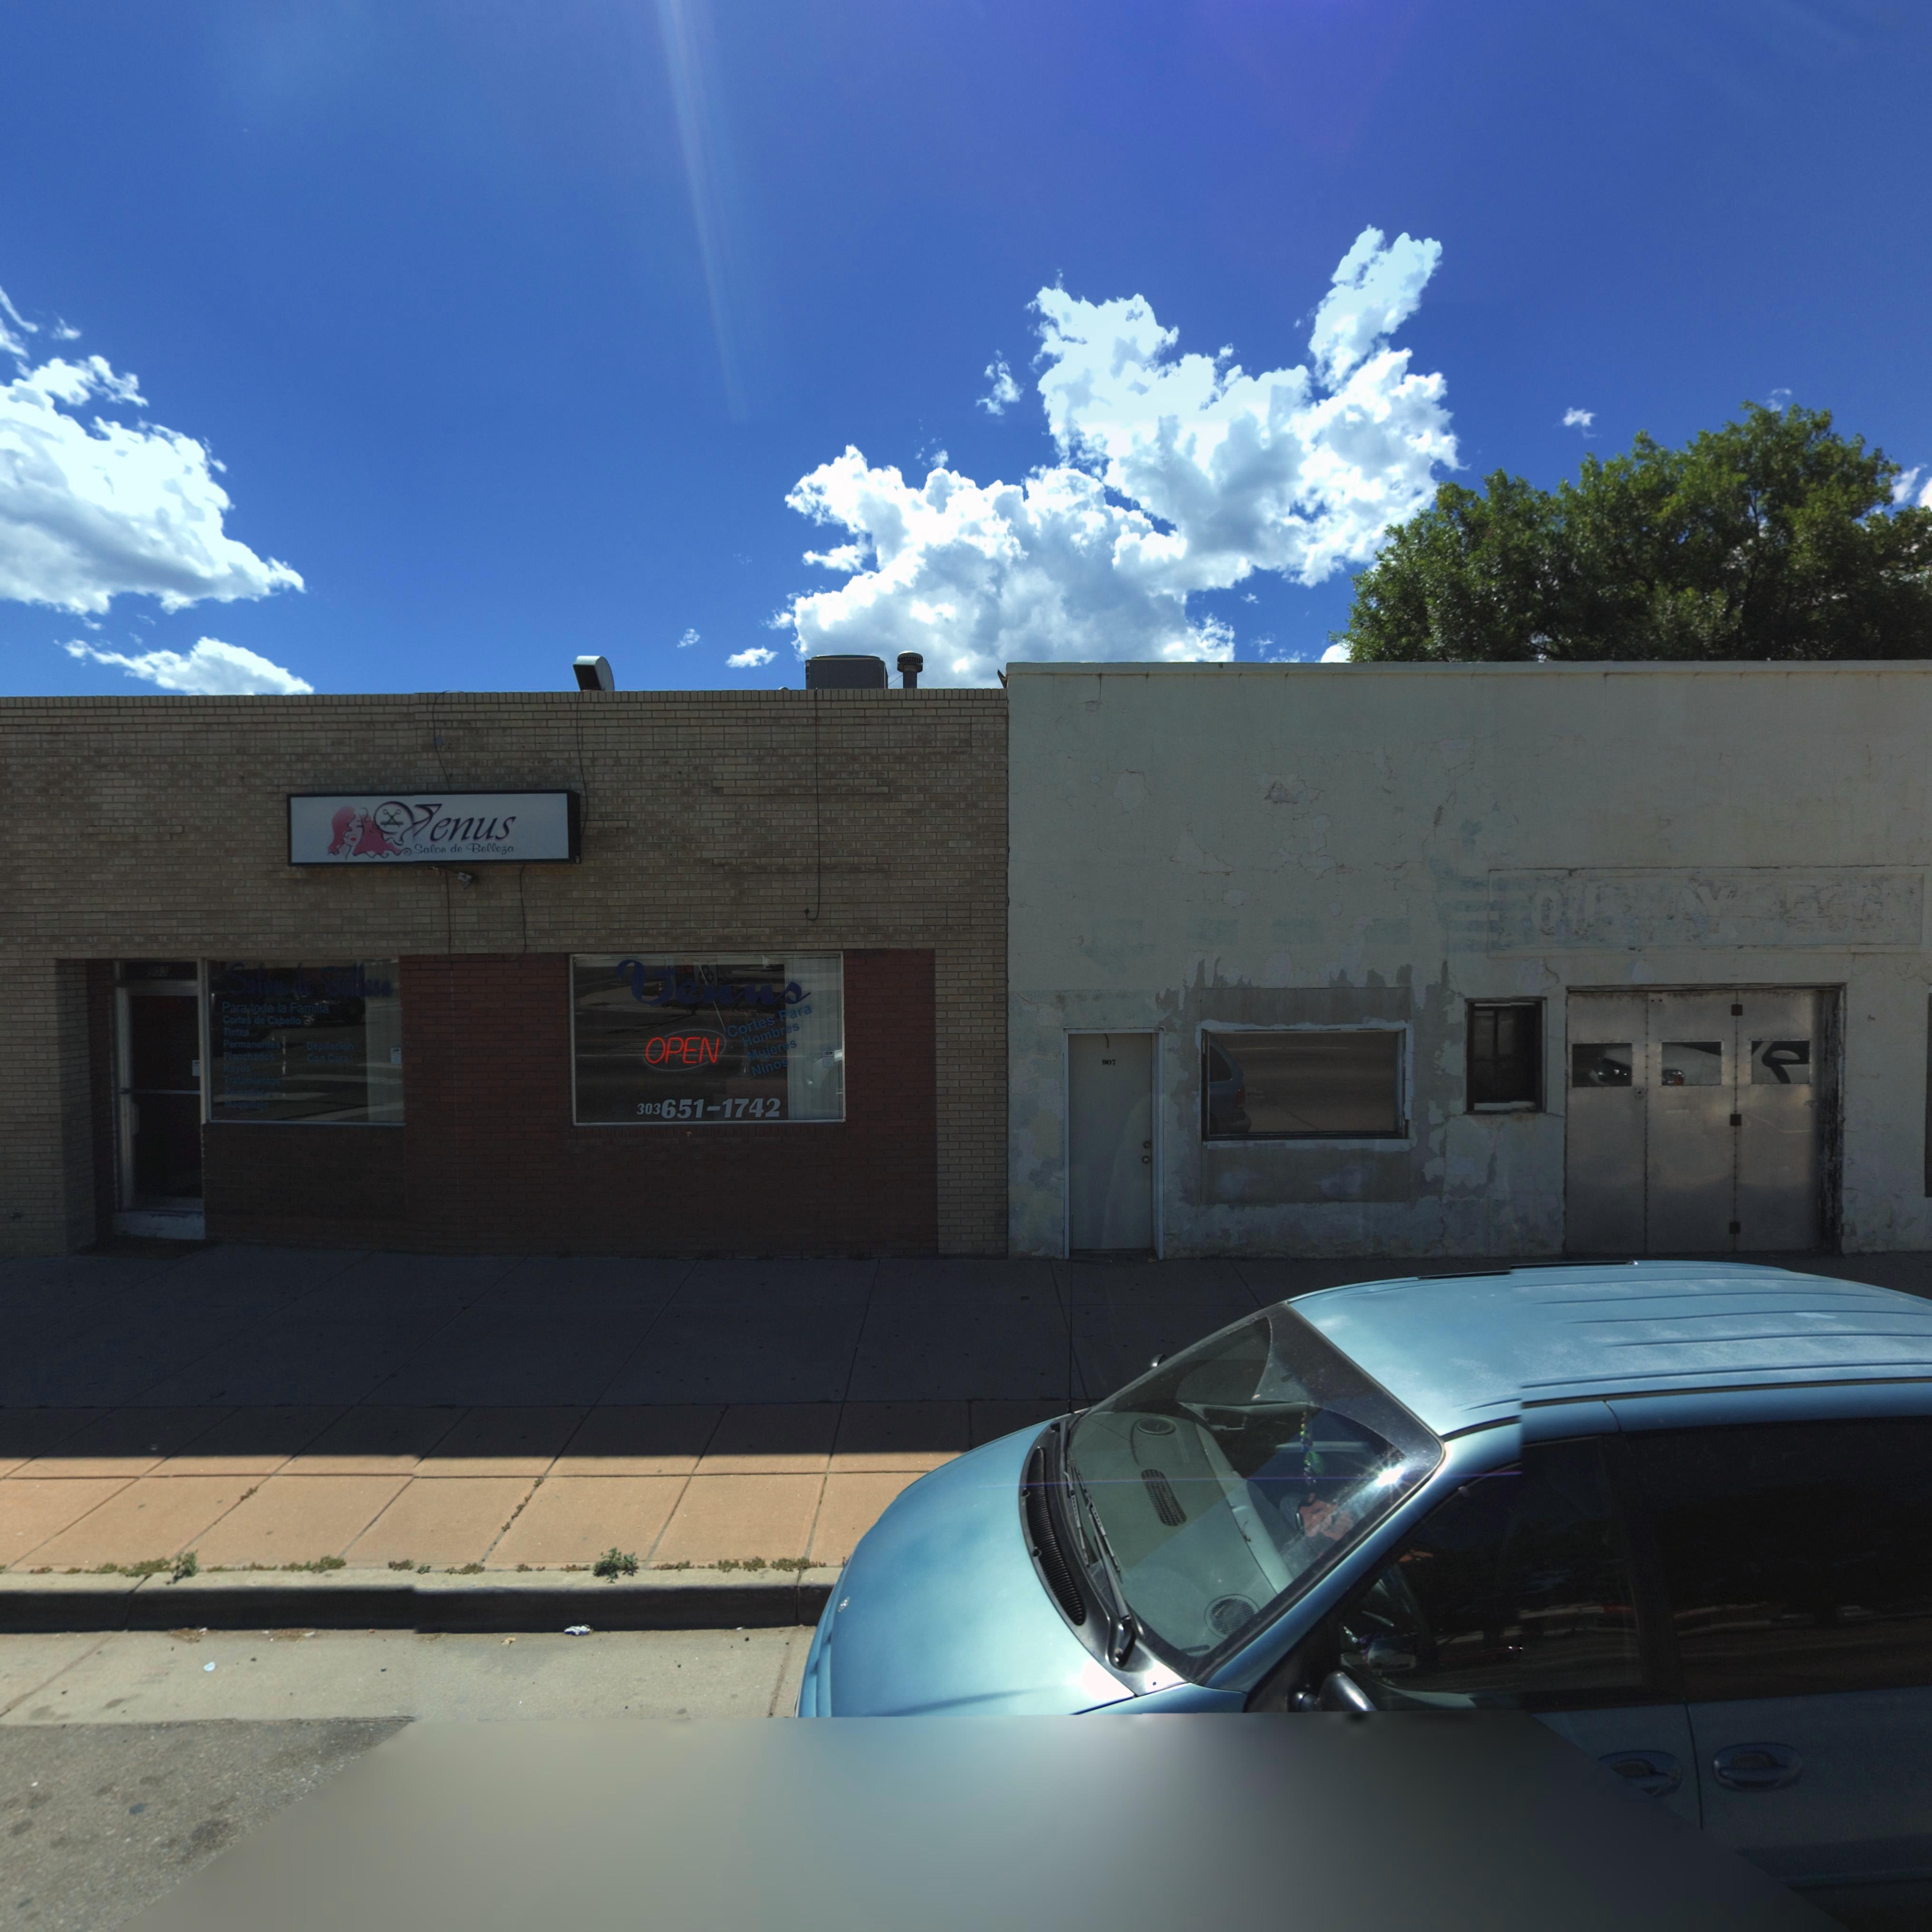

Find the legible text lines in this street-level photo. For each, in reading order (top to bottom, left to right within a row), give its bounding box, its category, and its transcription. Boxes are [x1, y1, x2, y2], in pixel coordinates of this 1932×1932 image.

[398, 799, 519, 843] BusinessName: Venus
[413, 842, 514, 855] BusinessName: Salon de Belleza
[147, 965, 169, 976] StreetNumber: 903
[613, 957, 812, 1007] BusinessName: Venus
[1101, 1058, 1116, 1066] StreetNumber: 907